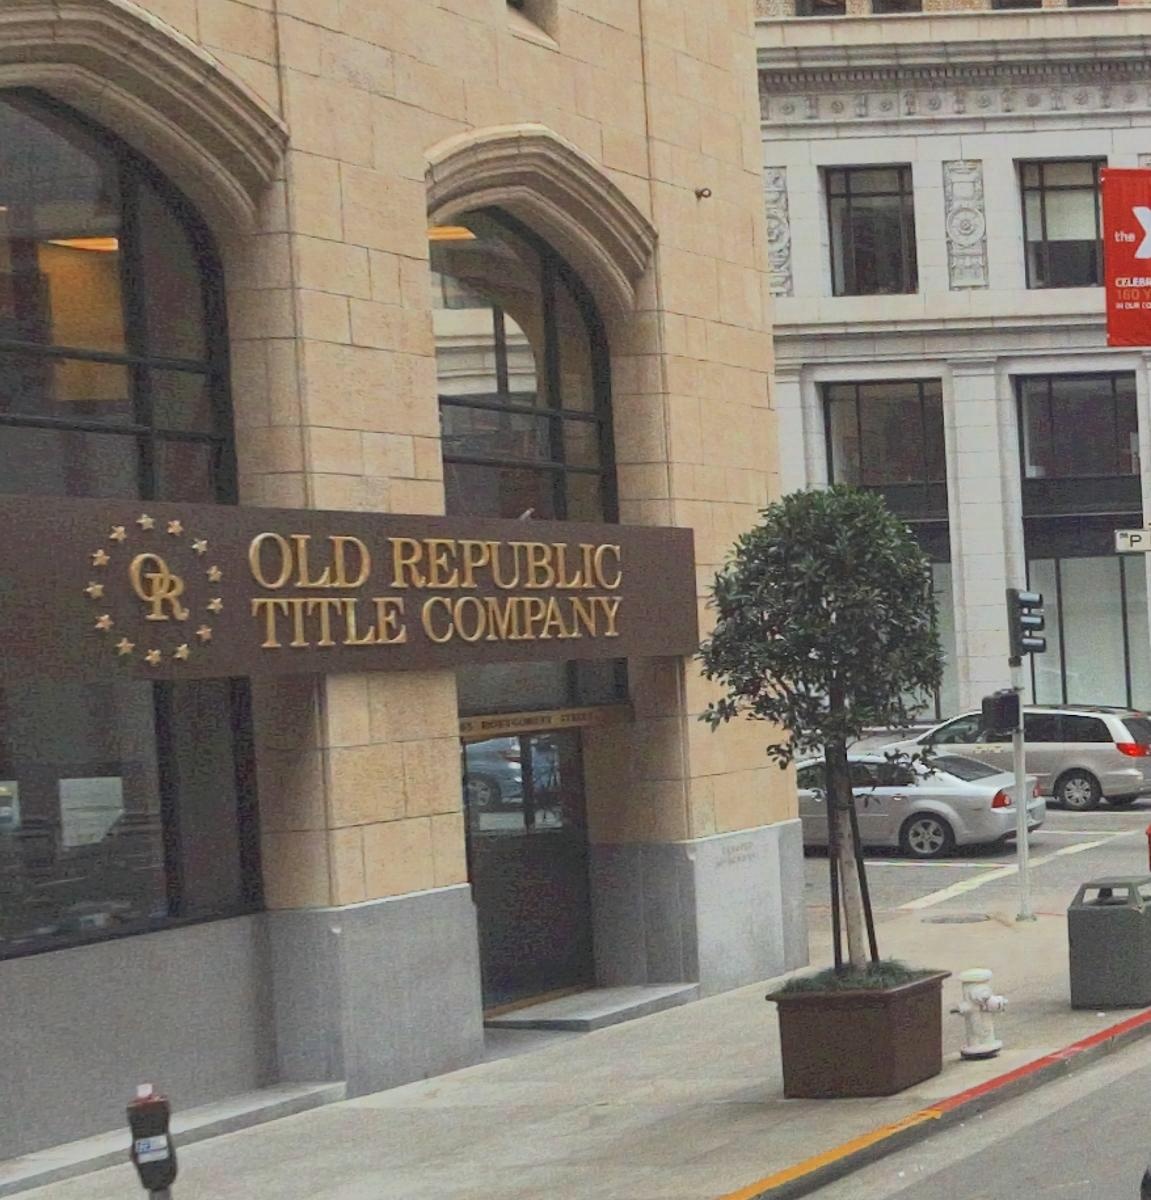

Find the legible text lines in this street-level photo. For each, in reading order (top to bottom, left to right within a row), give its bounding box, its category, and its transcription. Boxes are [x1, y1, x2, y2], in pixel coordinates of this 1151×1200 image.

[1110, 227, 1139, 245] None: the
[1112, 274, 1148, 290] None: CELEB
[1113, 286, 1143, 302] None: 160
[1128, 531, 1145, 550] StreetName: P
[243, 527, 626, 594] BusinessName: OLD REPUBLIC
[247, 592, 627, 652] BusinessName: TITLE COMPANY